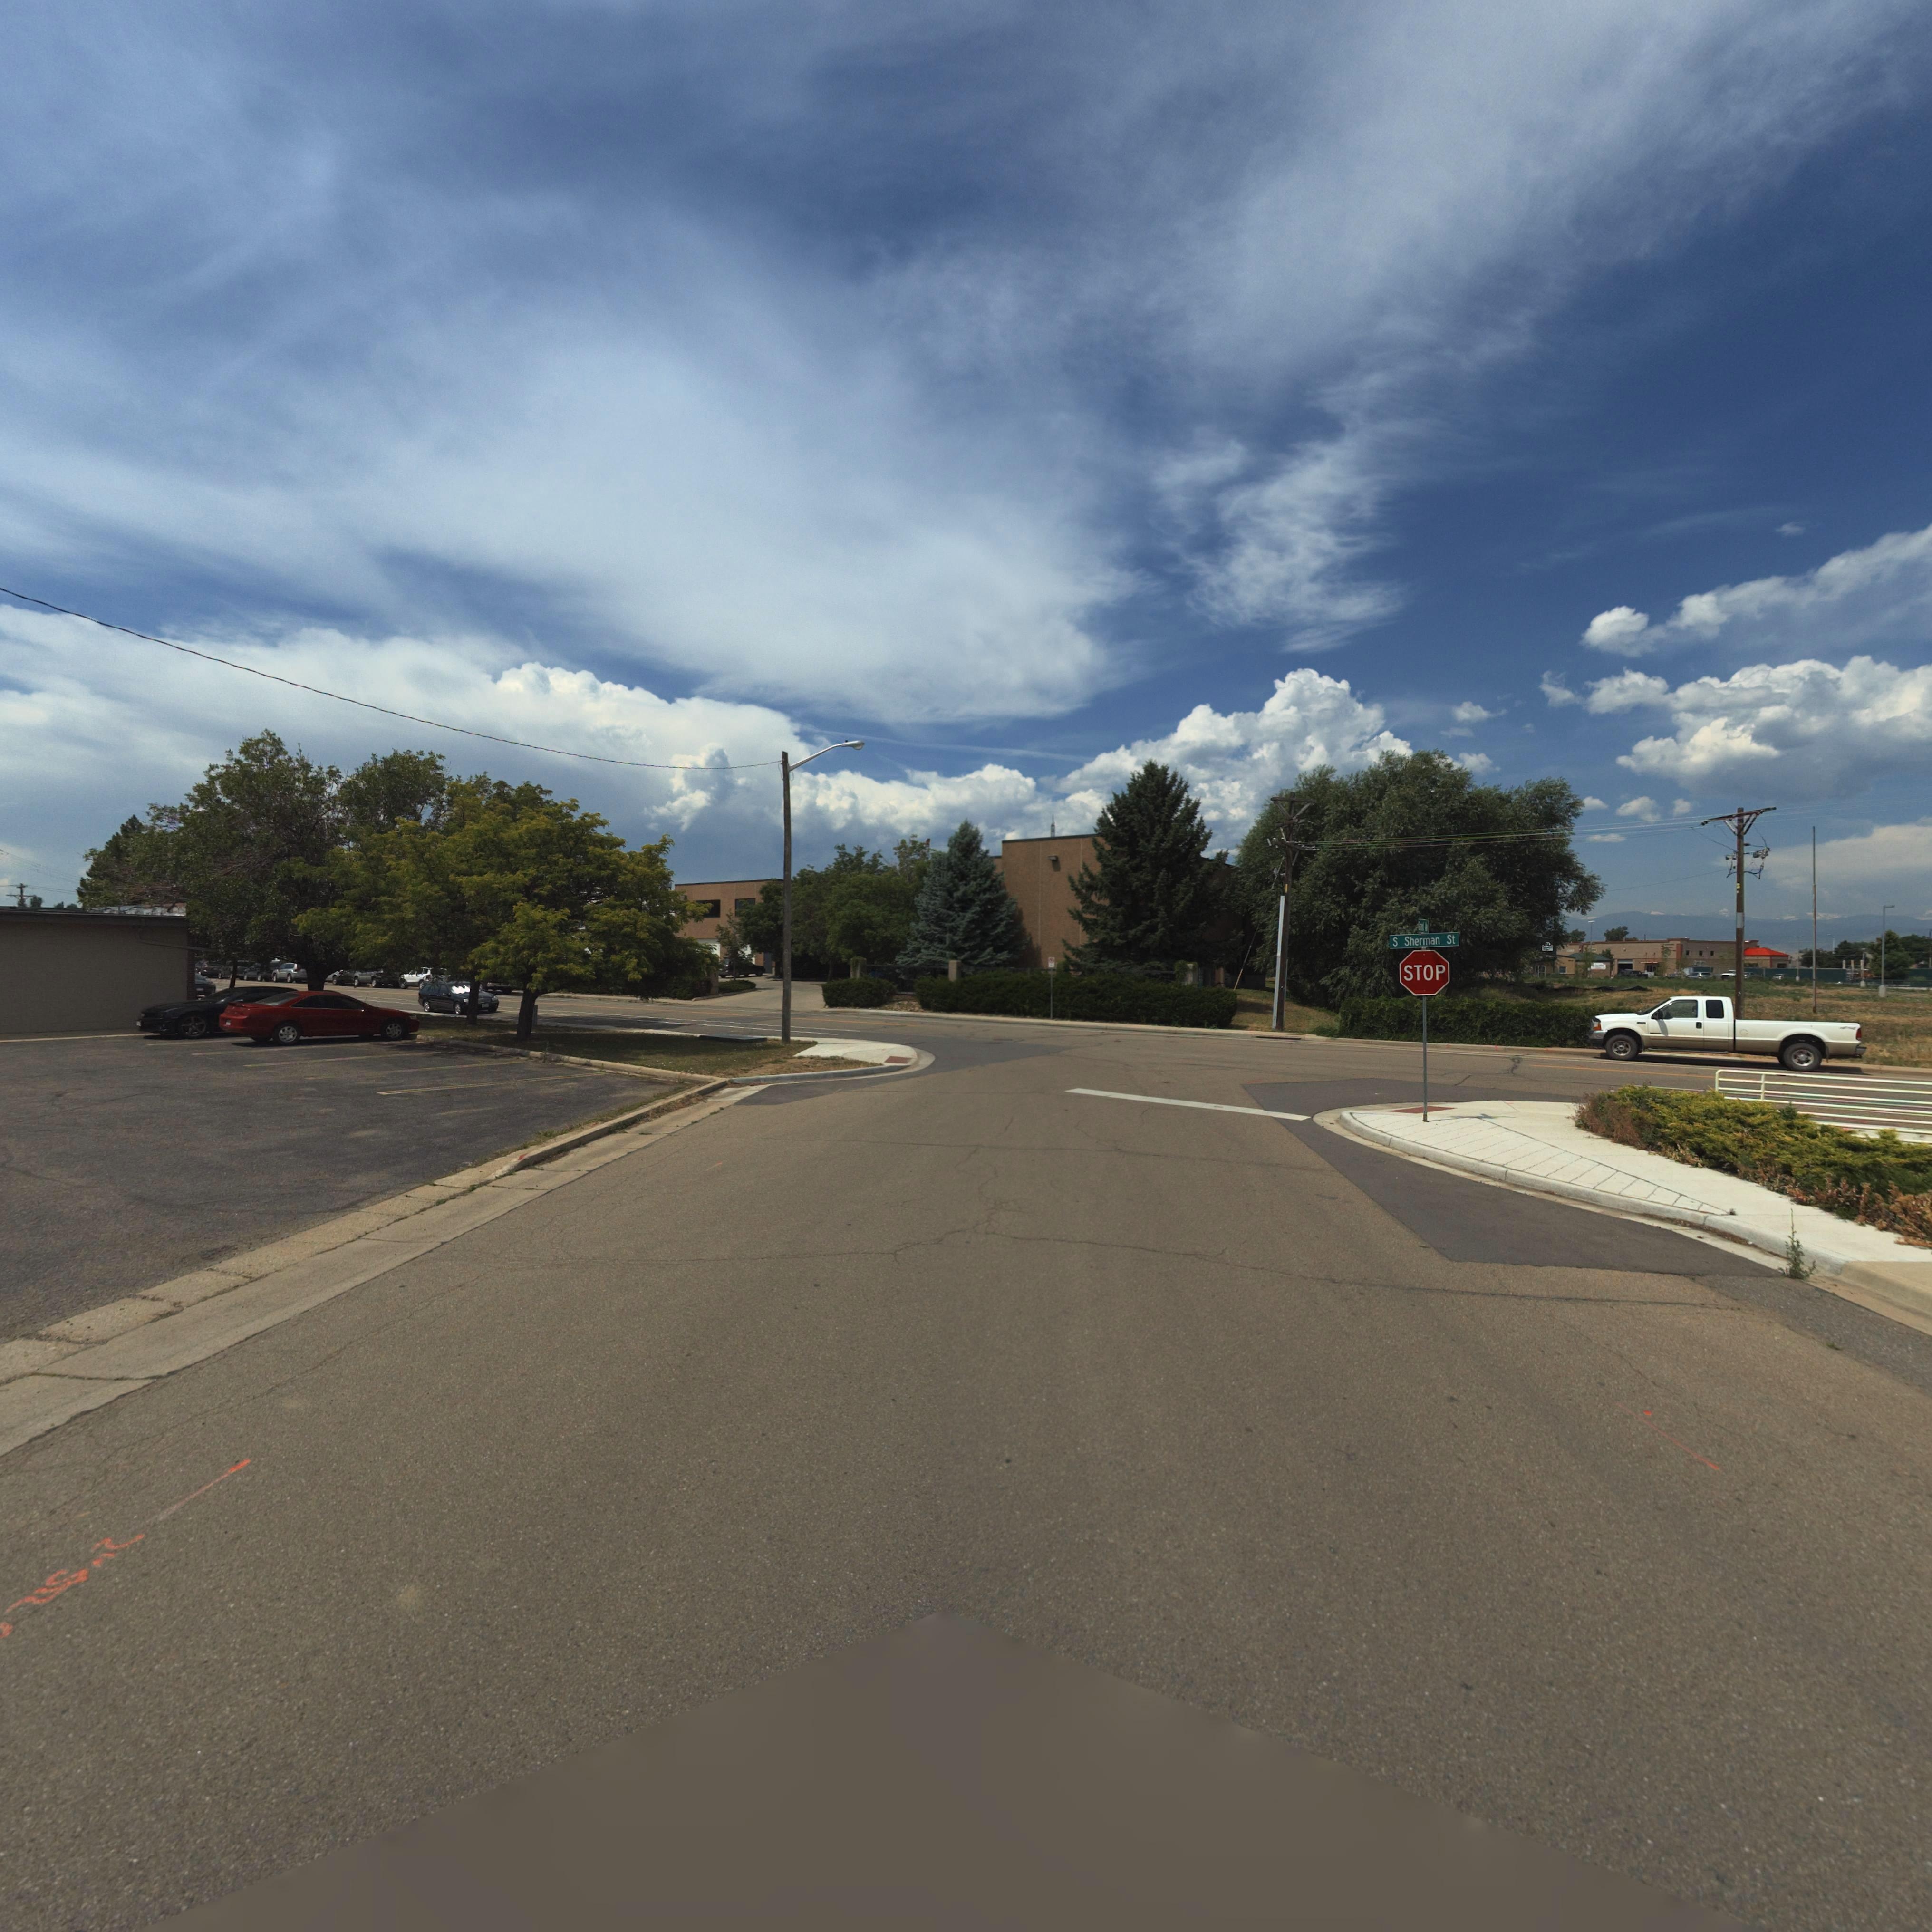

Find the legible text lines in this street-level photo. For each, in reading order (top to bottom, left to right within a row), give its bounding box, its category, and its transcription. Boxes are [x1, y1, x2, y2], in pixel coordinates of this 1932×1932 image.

[1392, 934, 1456, 947] StreetName: S Sherman St